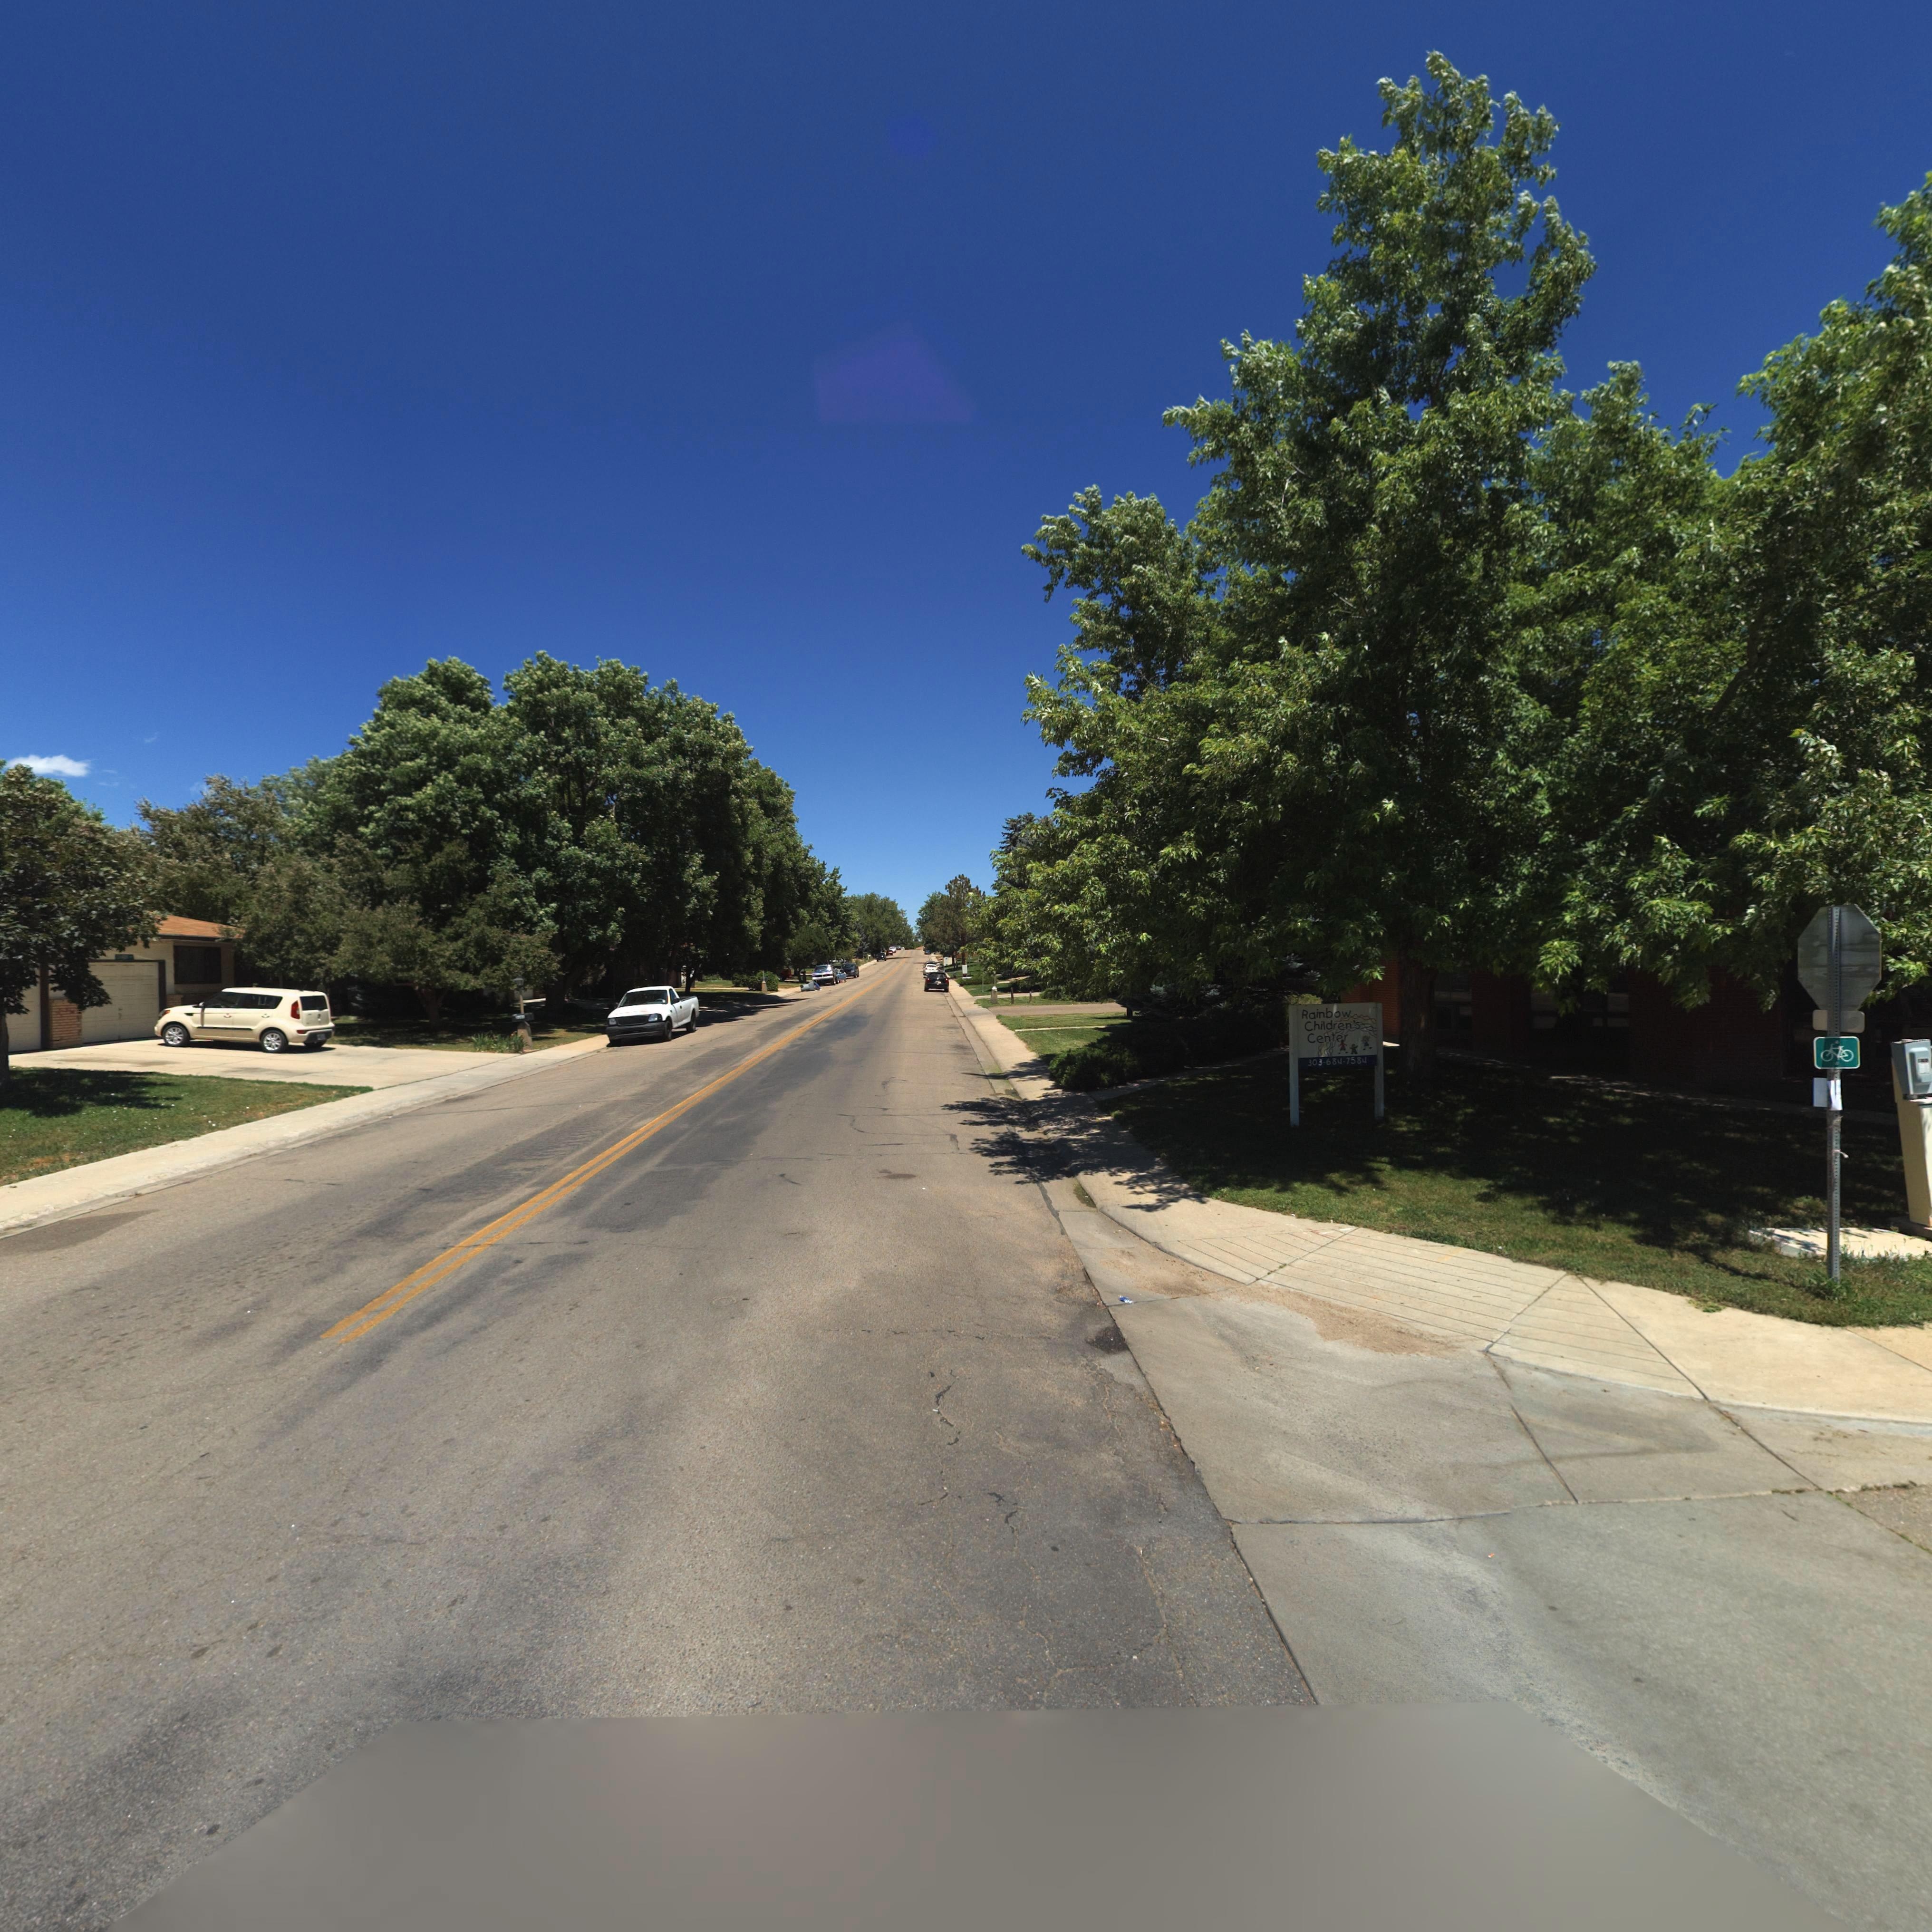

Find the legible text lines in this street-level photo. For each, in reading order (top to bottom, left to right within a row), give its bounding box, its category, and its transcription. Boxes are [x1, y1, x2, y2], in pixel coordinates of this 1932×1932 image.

[1301, 1007, 1352, 1020] BusinessName: Rainbow
[1307, 1032, 1349, 1044] BusinessName: Center